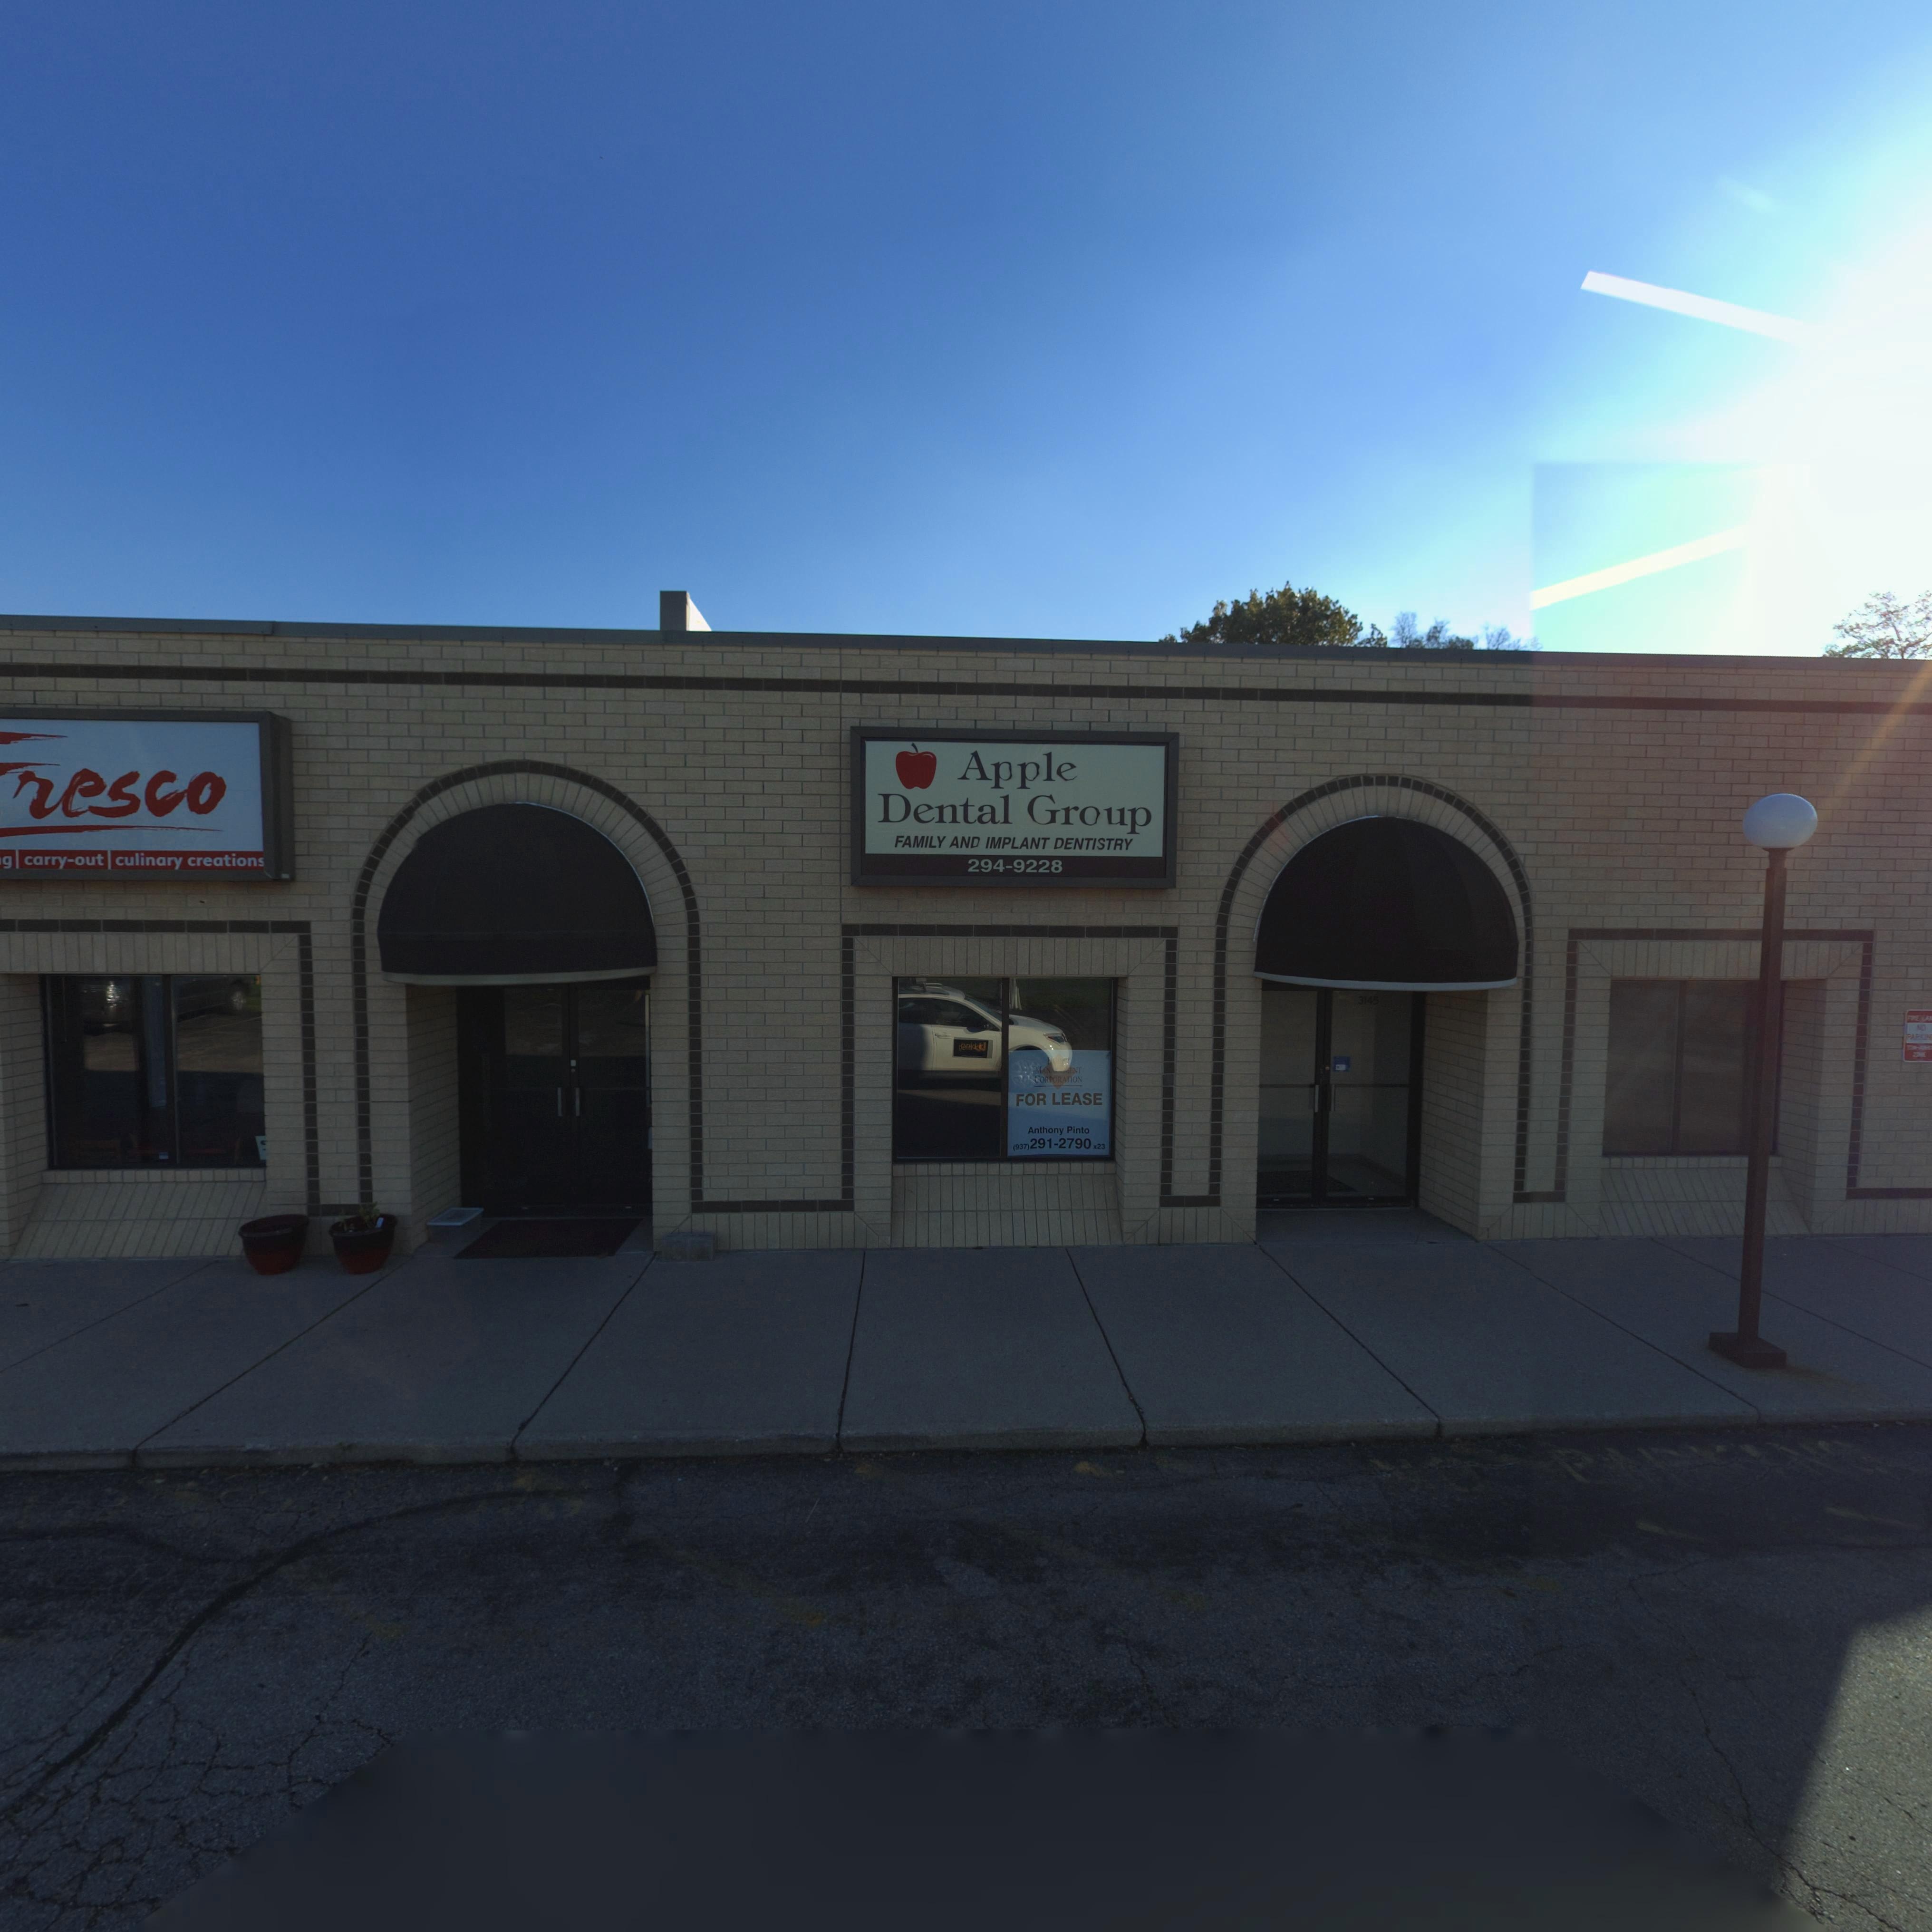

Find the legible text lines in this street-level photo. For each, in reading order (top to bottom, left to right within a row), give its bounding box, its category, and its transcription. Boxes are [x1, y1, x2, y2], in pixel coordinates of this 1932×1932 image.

[955, 749, 1079, 792] BusinessName: Apple
[10, 766, 228, 821] BusinessName: resco
[876, 792, 1154, 836] BusinessName: Dental Group
[1357, 995, 1381, 1005] StreetNumber: 3145
[1015, 1092, 1104, 1107] None: FOR LEASE